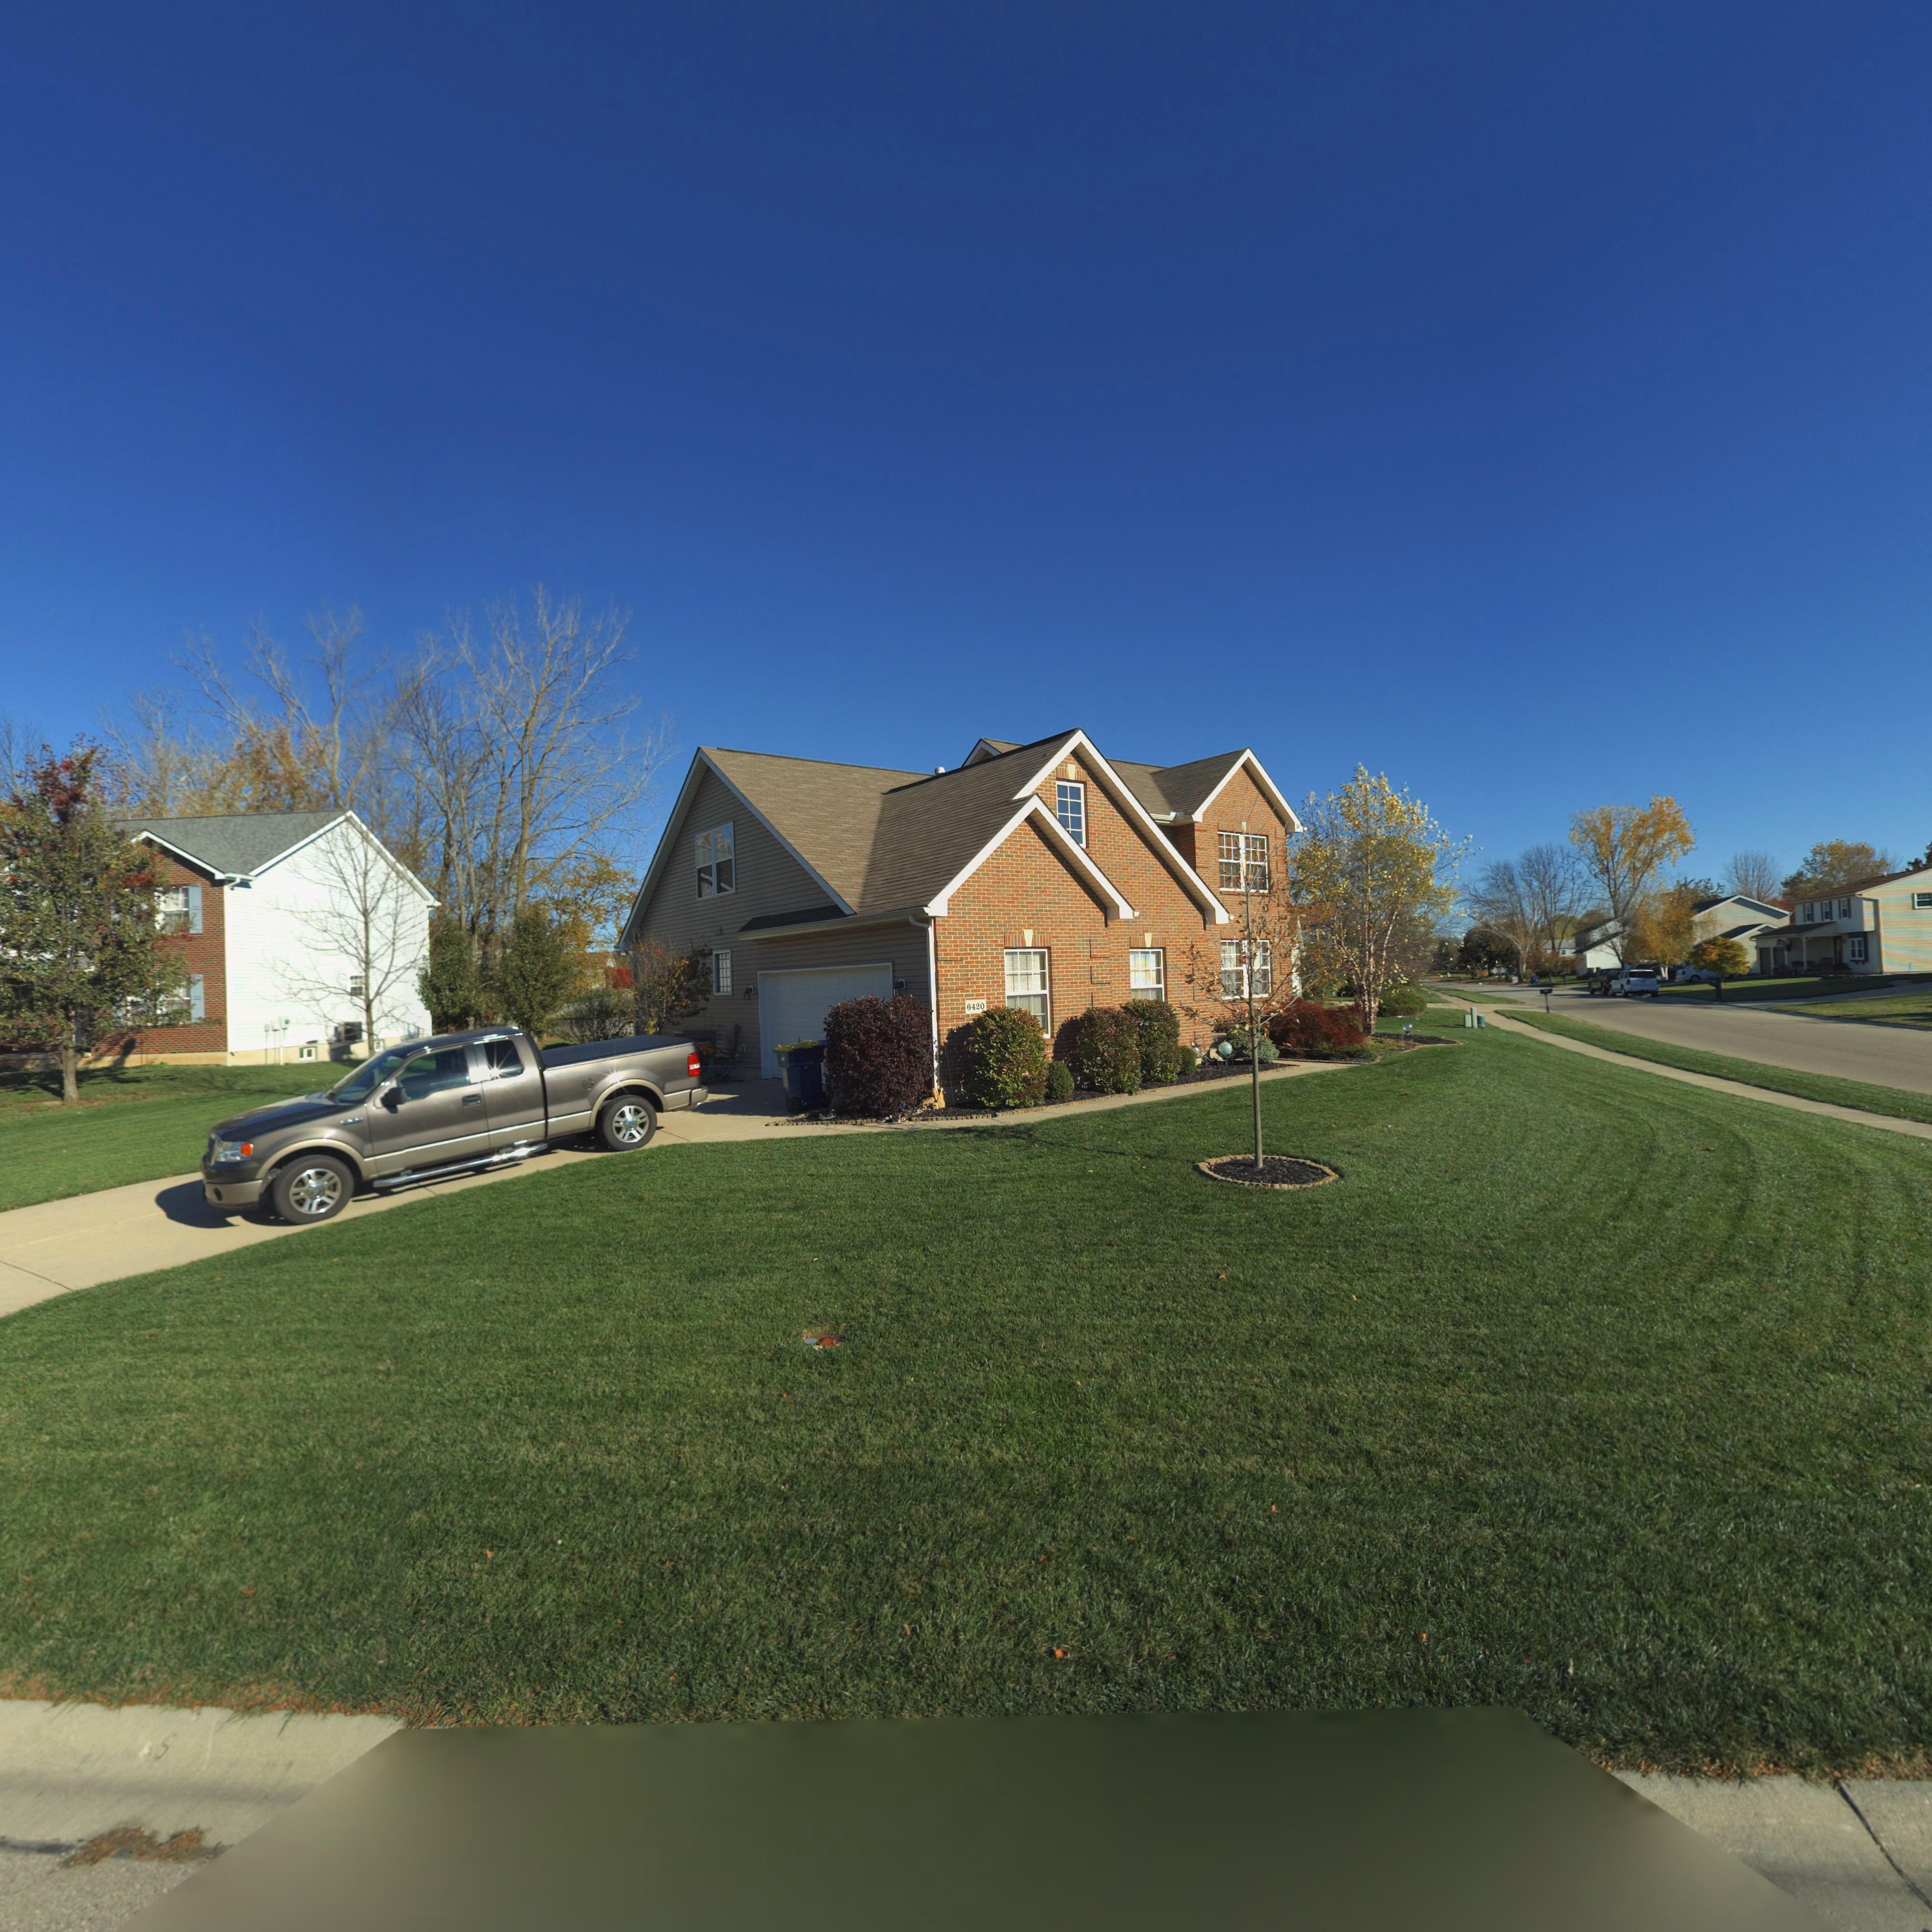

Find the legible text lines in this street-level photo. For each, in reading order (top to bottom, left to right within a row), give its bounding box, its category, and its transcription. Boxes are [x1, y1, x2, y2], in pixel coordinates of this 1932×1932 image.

[966, 1002, 985, 1012] StreetNumber: 6420